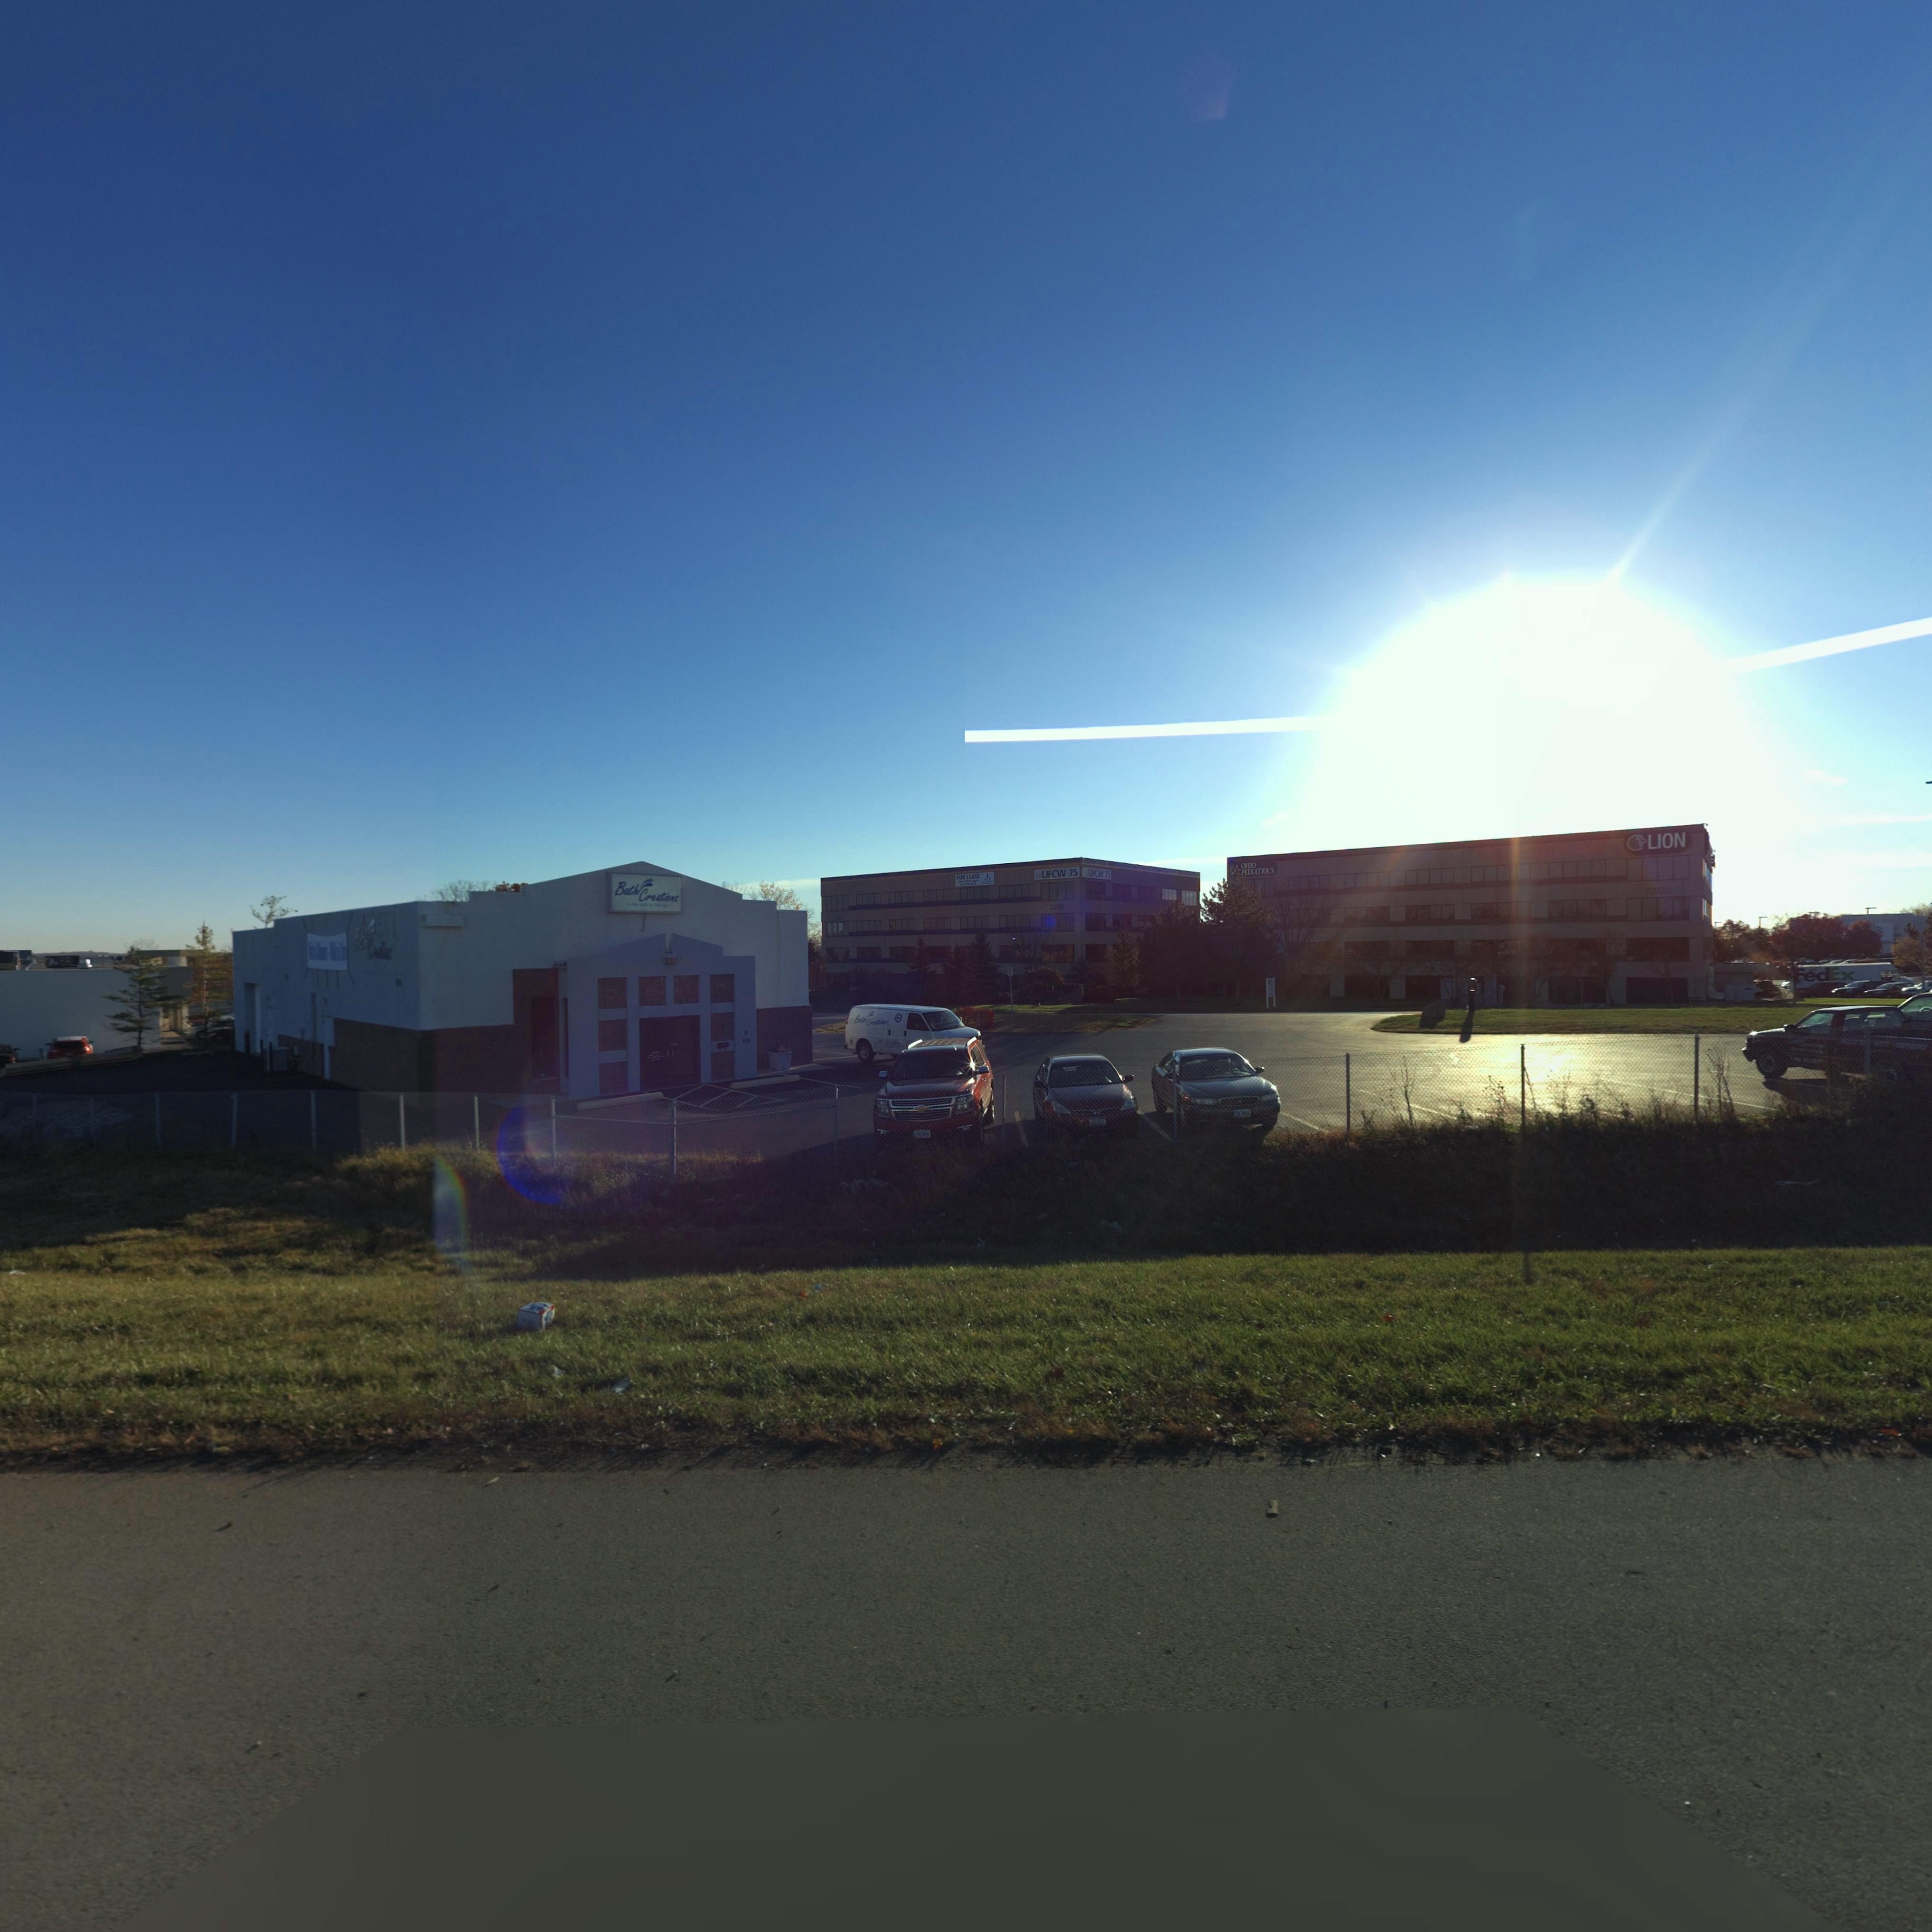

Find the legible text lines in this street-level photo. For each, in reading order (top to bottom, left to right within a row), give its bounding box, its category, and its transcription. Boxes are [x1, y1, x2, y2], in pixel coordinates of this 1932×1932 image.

[1646, 831, 1688, 850] BusinessName: LION
[1240, 861, 1256, 869] BusinessName: OHIO
[955, 873, 980, 881] None: FOR LEASE
[1039, 868, 1078, 879] BusinessName: UFCW 75
[1086, 868, 1111, 881] BusinessName: UFCW 75
[1241, 867, 1276, 876] BusinessName: PEDIATRICS
[613, 877, 680, 906] BusinessName: Bath Creations
[1642, 886, 1673, 897] StreetNumber: 7200
[1049, 903, 1065, 911] StreetNumber: 7250
[853, 1012, 891, 1028] None: Bath Creations